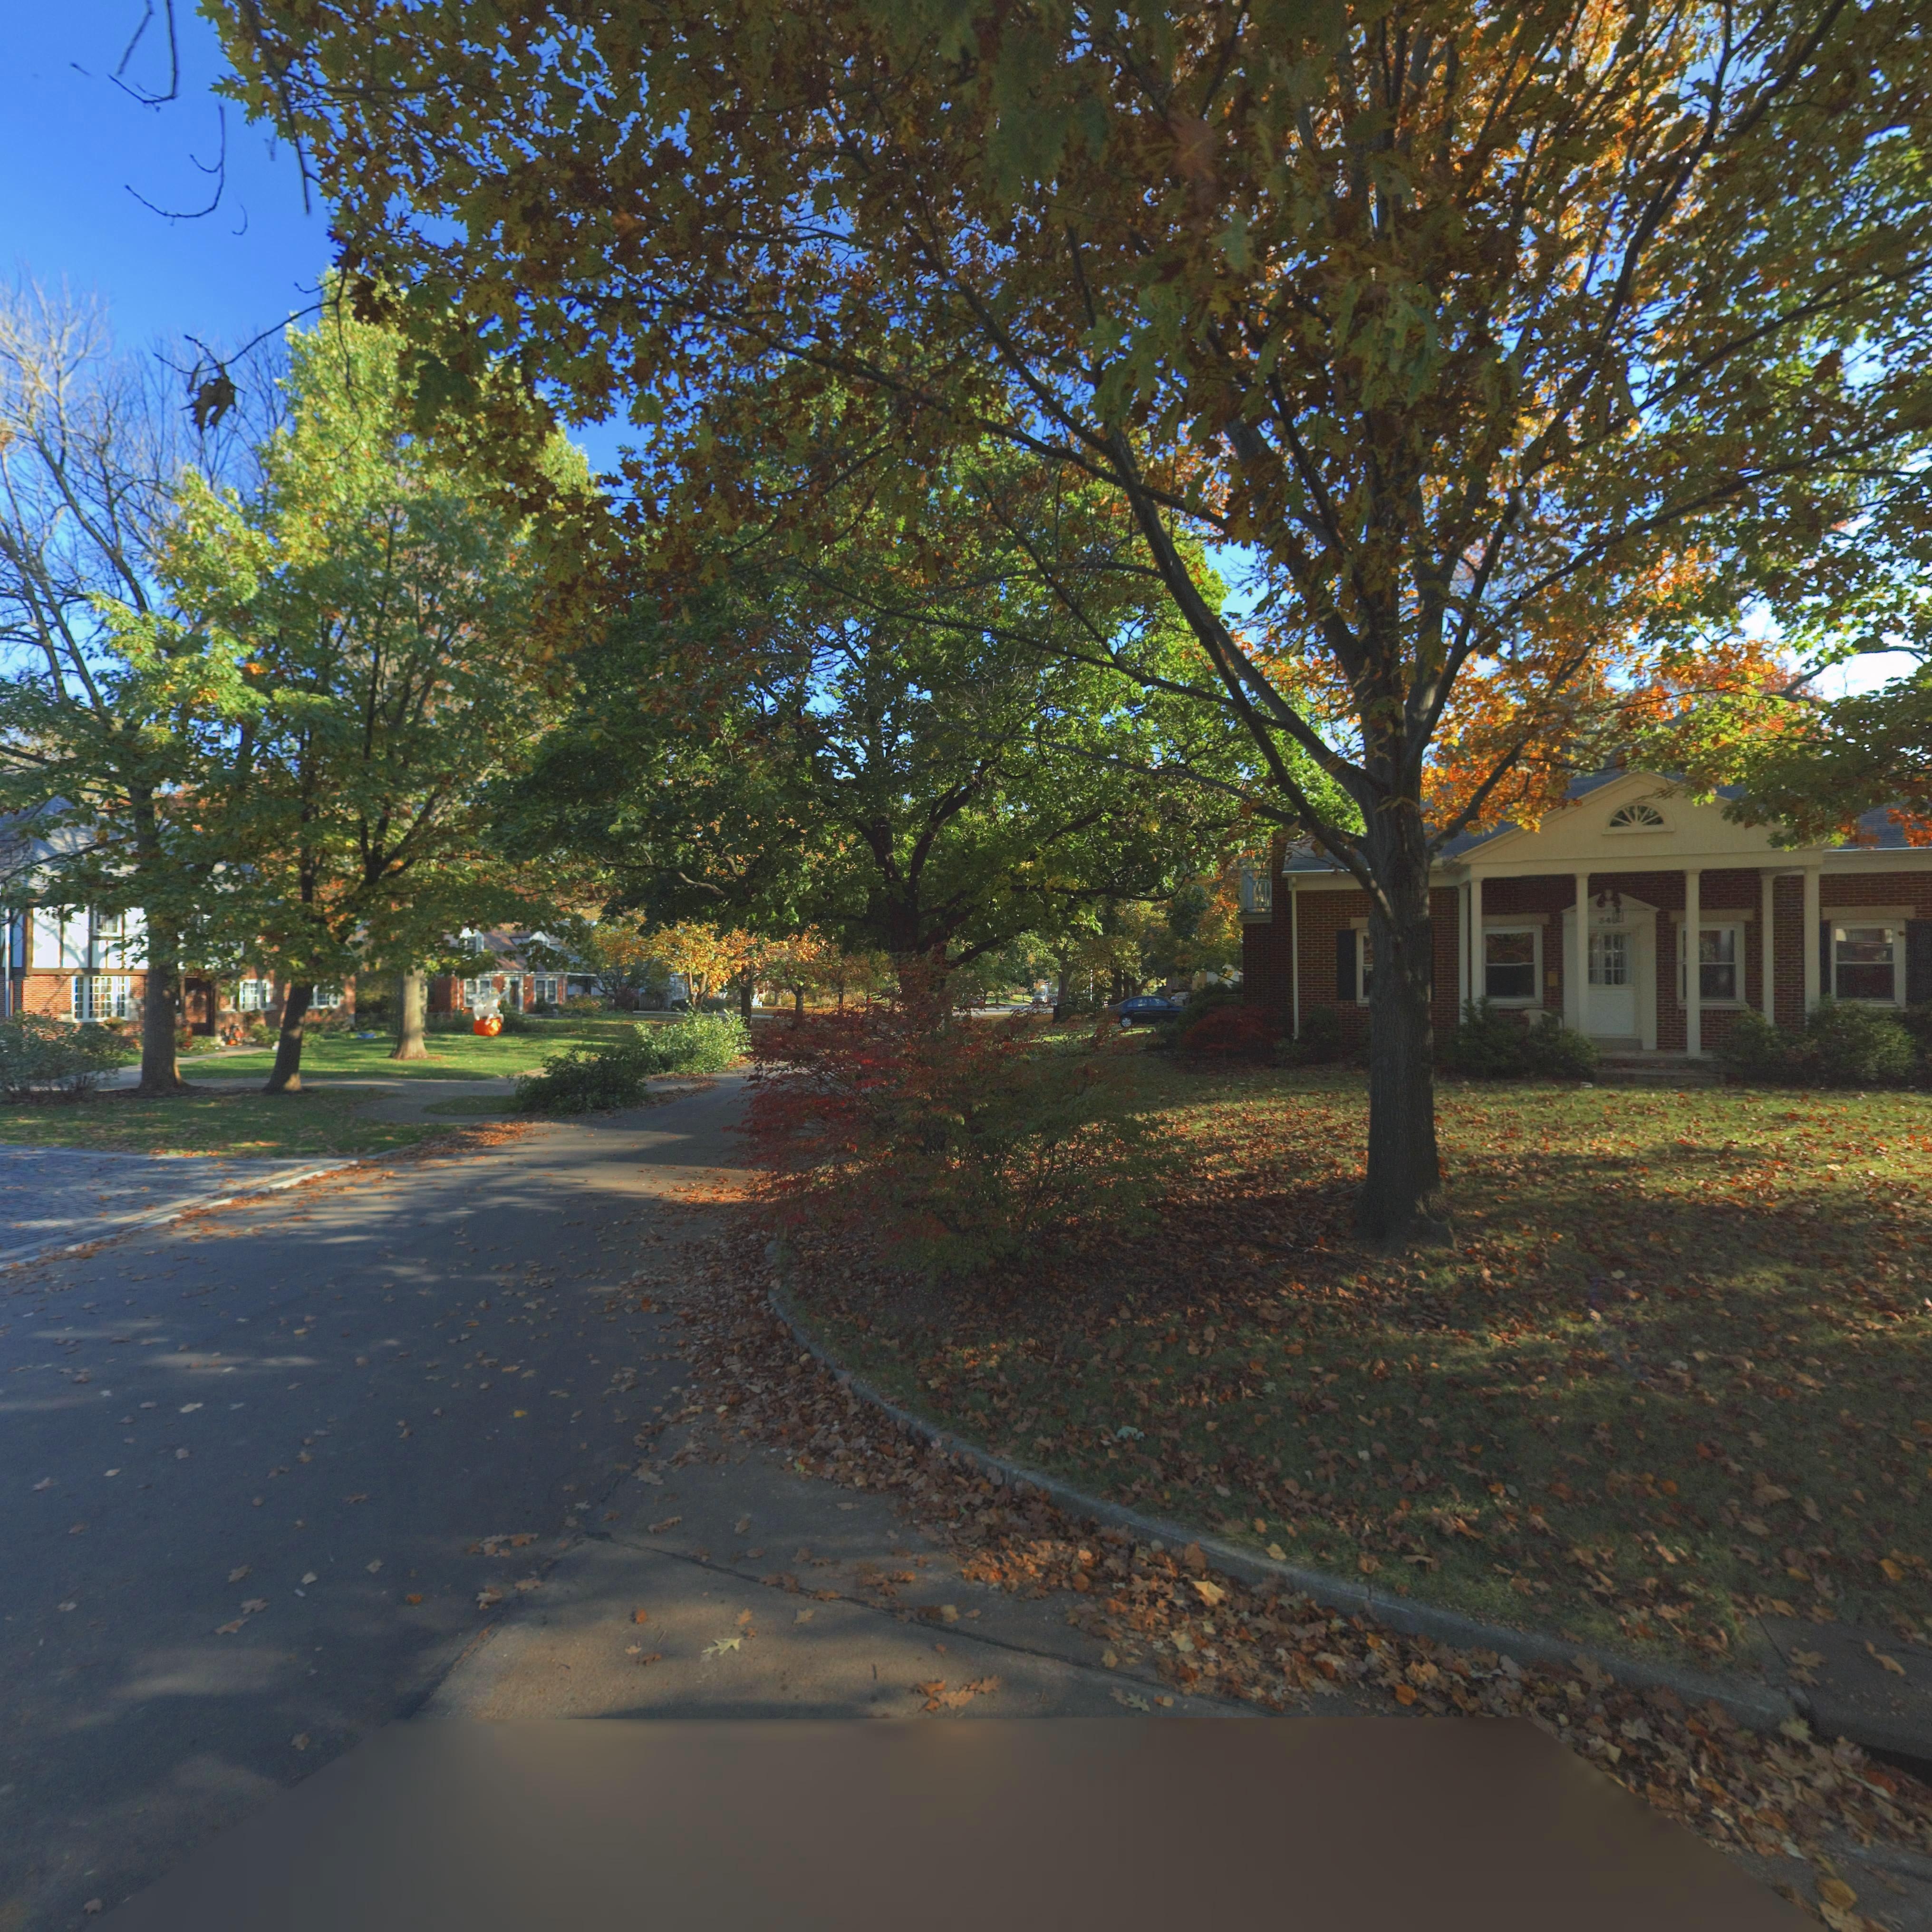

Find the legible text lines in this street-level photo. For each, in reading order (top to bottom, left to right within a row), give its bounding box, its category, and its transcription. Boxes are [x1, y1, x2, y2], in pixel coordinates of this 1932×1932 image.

[1597, 916, 1612, 925] StreetNumber: 34